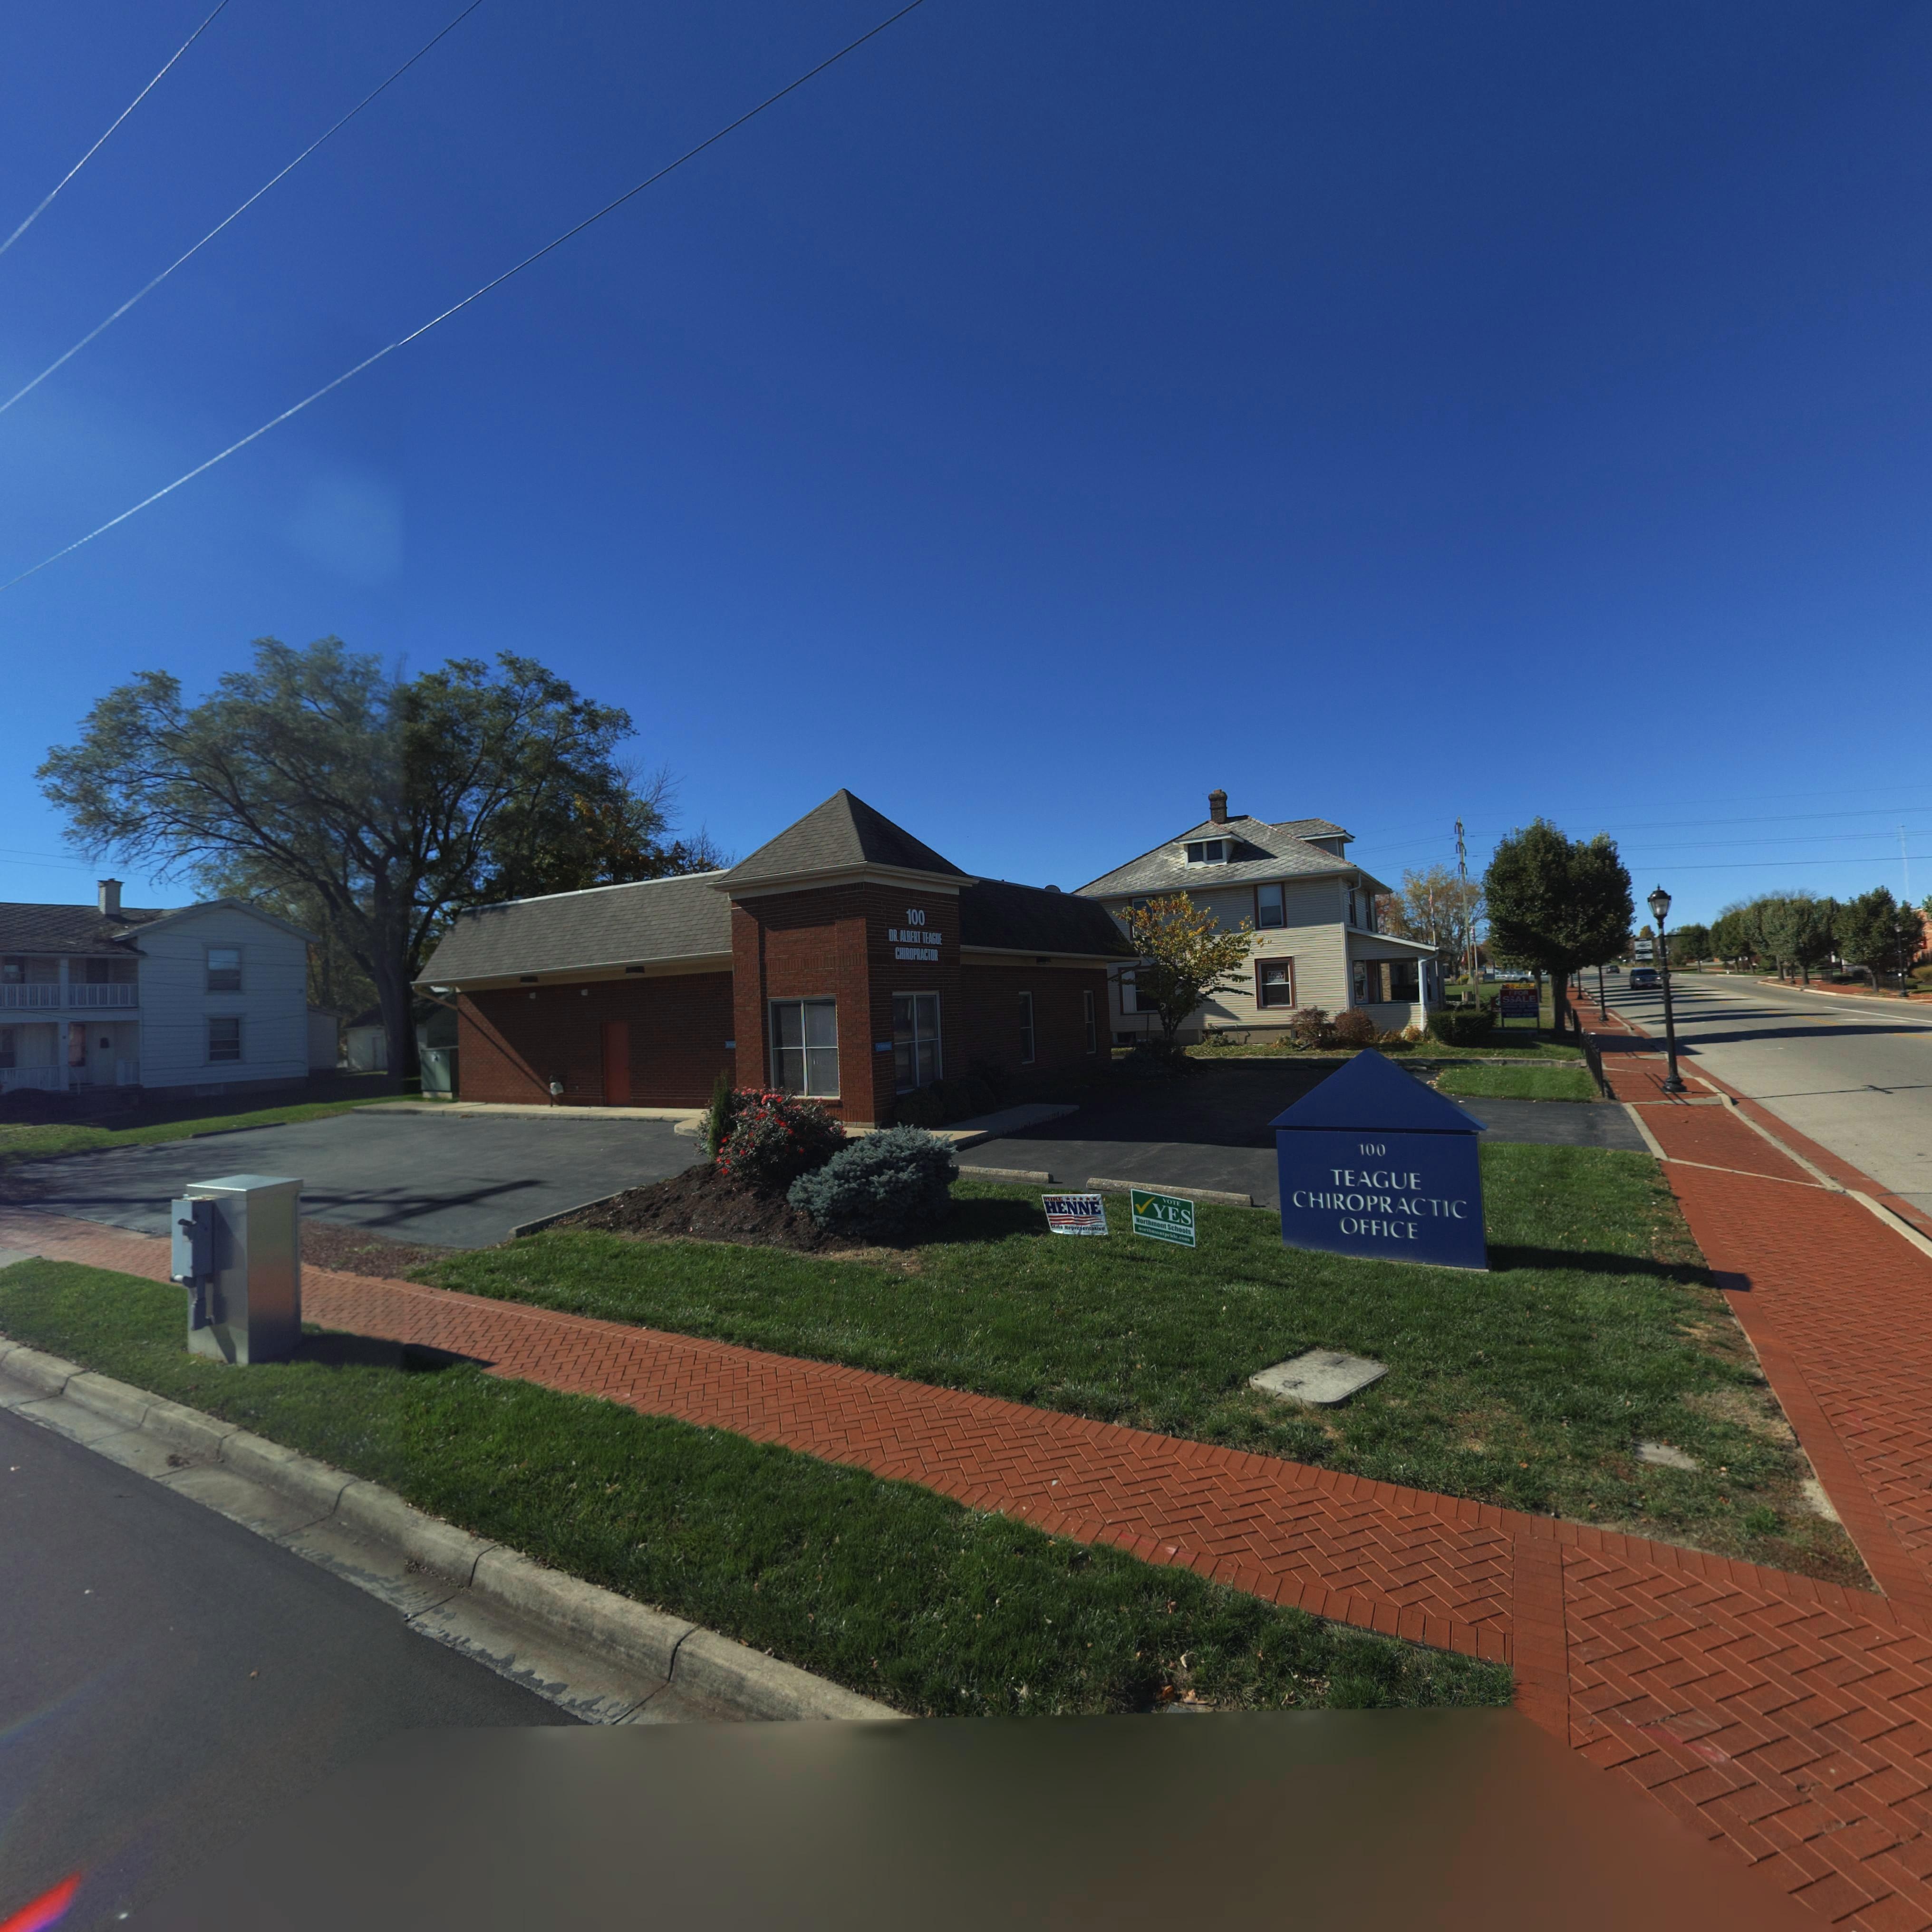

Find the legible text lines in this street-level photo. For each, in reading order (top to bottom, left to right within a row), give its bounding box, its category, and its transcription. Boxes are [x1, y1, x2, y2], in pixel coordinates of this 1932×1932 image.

[905, 908, 925, 927] StreetNumber: 100
[888, 928, 943, 946] BusinessName: DR. ALBERT TEAGUE
[894, 947, 939, 962] BusinessName: CHIROPRACTOR
[1502, 995, 1536, 1004] None: S*ALE
[1513, 990, 1529, 995] None: FOR
[1356, 1142, 1386, 1157] StreetNumber: 100
[1329, 1168, 1422, 1191] BusinessName: TEAGUE
[1043, 1200, 1102, 1216] None: HENNE
[1161, 1197, 1181, 1207] None: VOTE
[1151, 1202, 1192, 1227] None: YES
[1291, 1189, 1468, 1221] BusinessName: CHIROPRACTIC
[1136, 1217, 1192, 1236] None: Northmont Schools
[1337, 1216, 1419, 1241] BusinessName: OFFICE